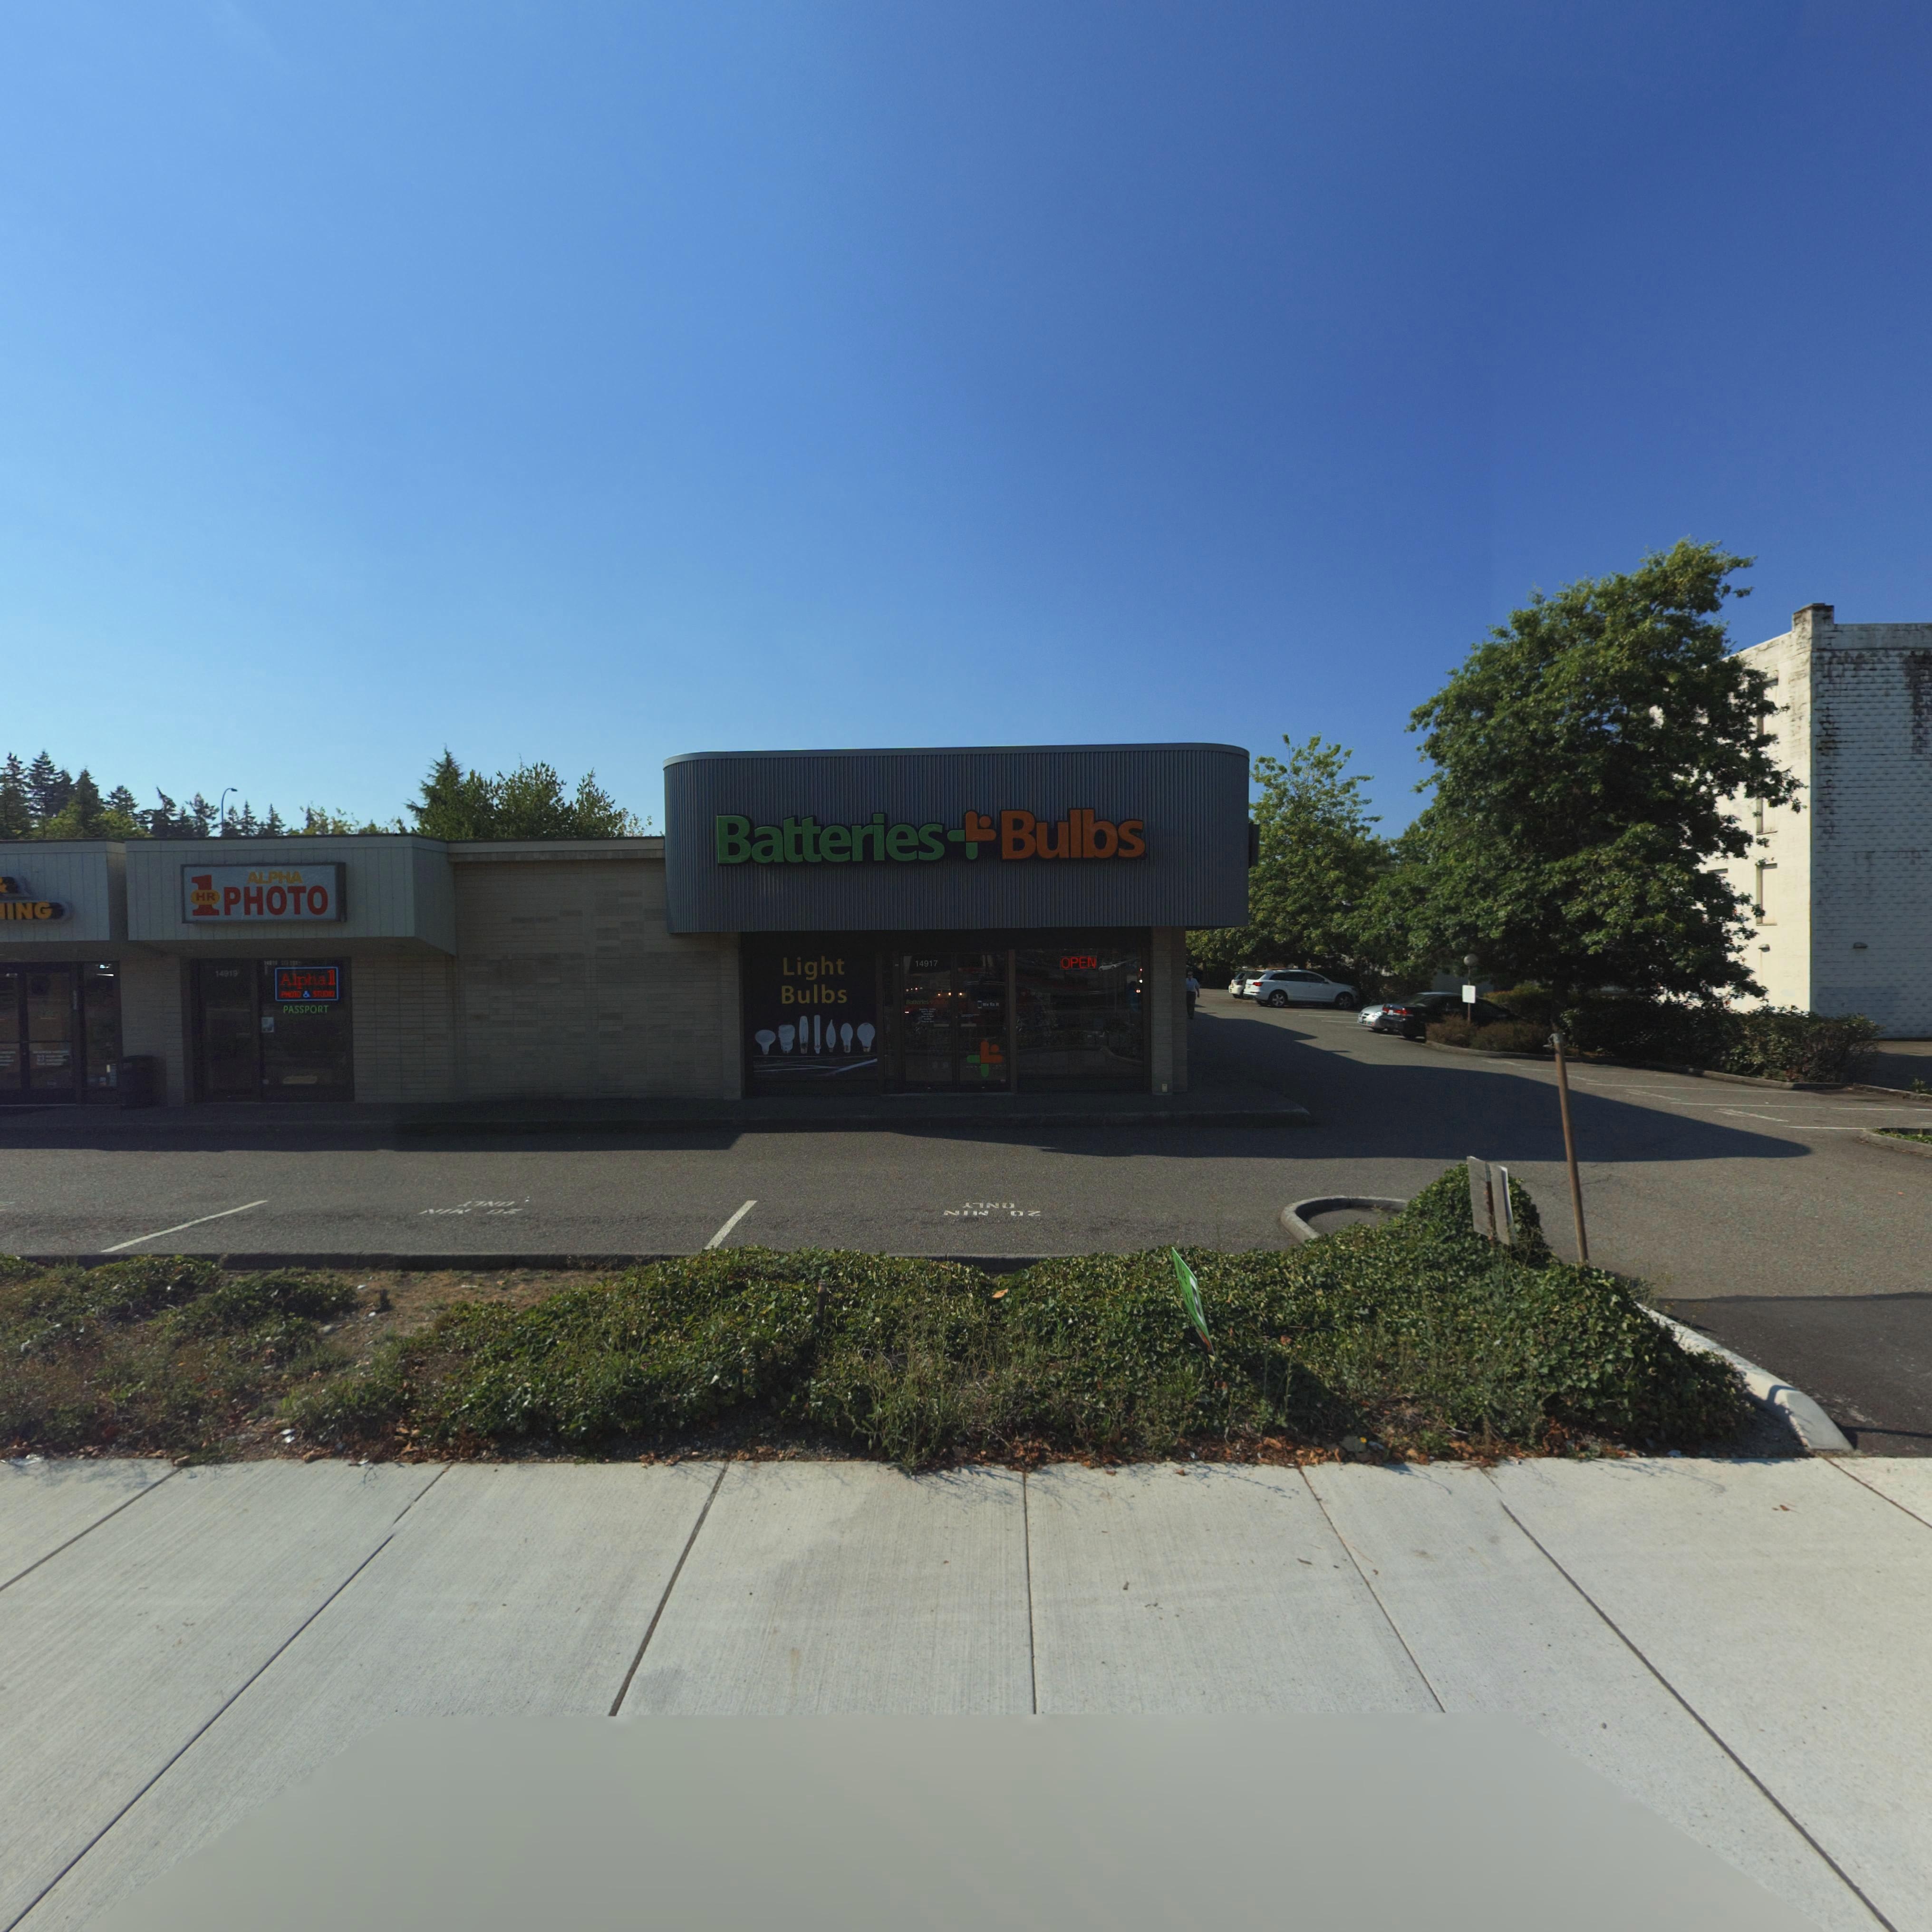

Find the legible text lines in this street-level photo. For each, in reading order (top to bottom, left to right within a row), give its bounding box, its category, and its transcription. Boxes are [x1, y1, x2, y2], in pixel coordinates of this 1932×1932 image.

[714, 806, 1147, 867] BusinessName: Batteries*Bulbs
[244, 869, 305, 886] BusinessName: ALPHA
[190, 873, 220, 917] BusinessName: 1
[194, 891, 216, 901] None: HR
[223, 885, 328, 915] BusinessName: PHOTO
[5, 900, 53, 920] BusinessName: ING
[215, 969, 239, 977] StreetNumber: 14919
[280, 968, 336, 990] BusinessName: Alpha 1
[914, 958, 939, 968] BusinessName: 14917
[280, 990, 335, 998] BusinessName: PHOTO & STUDIO